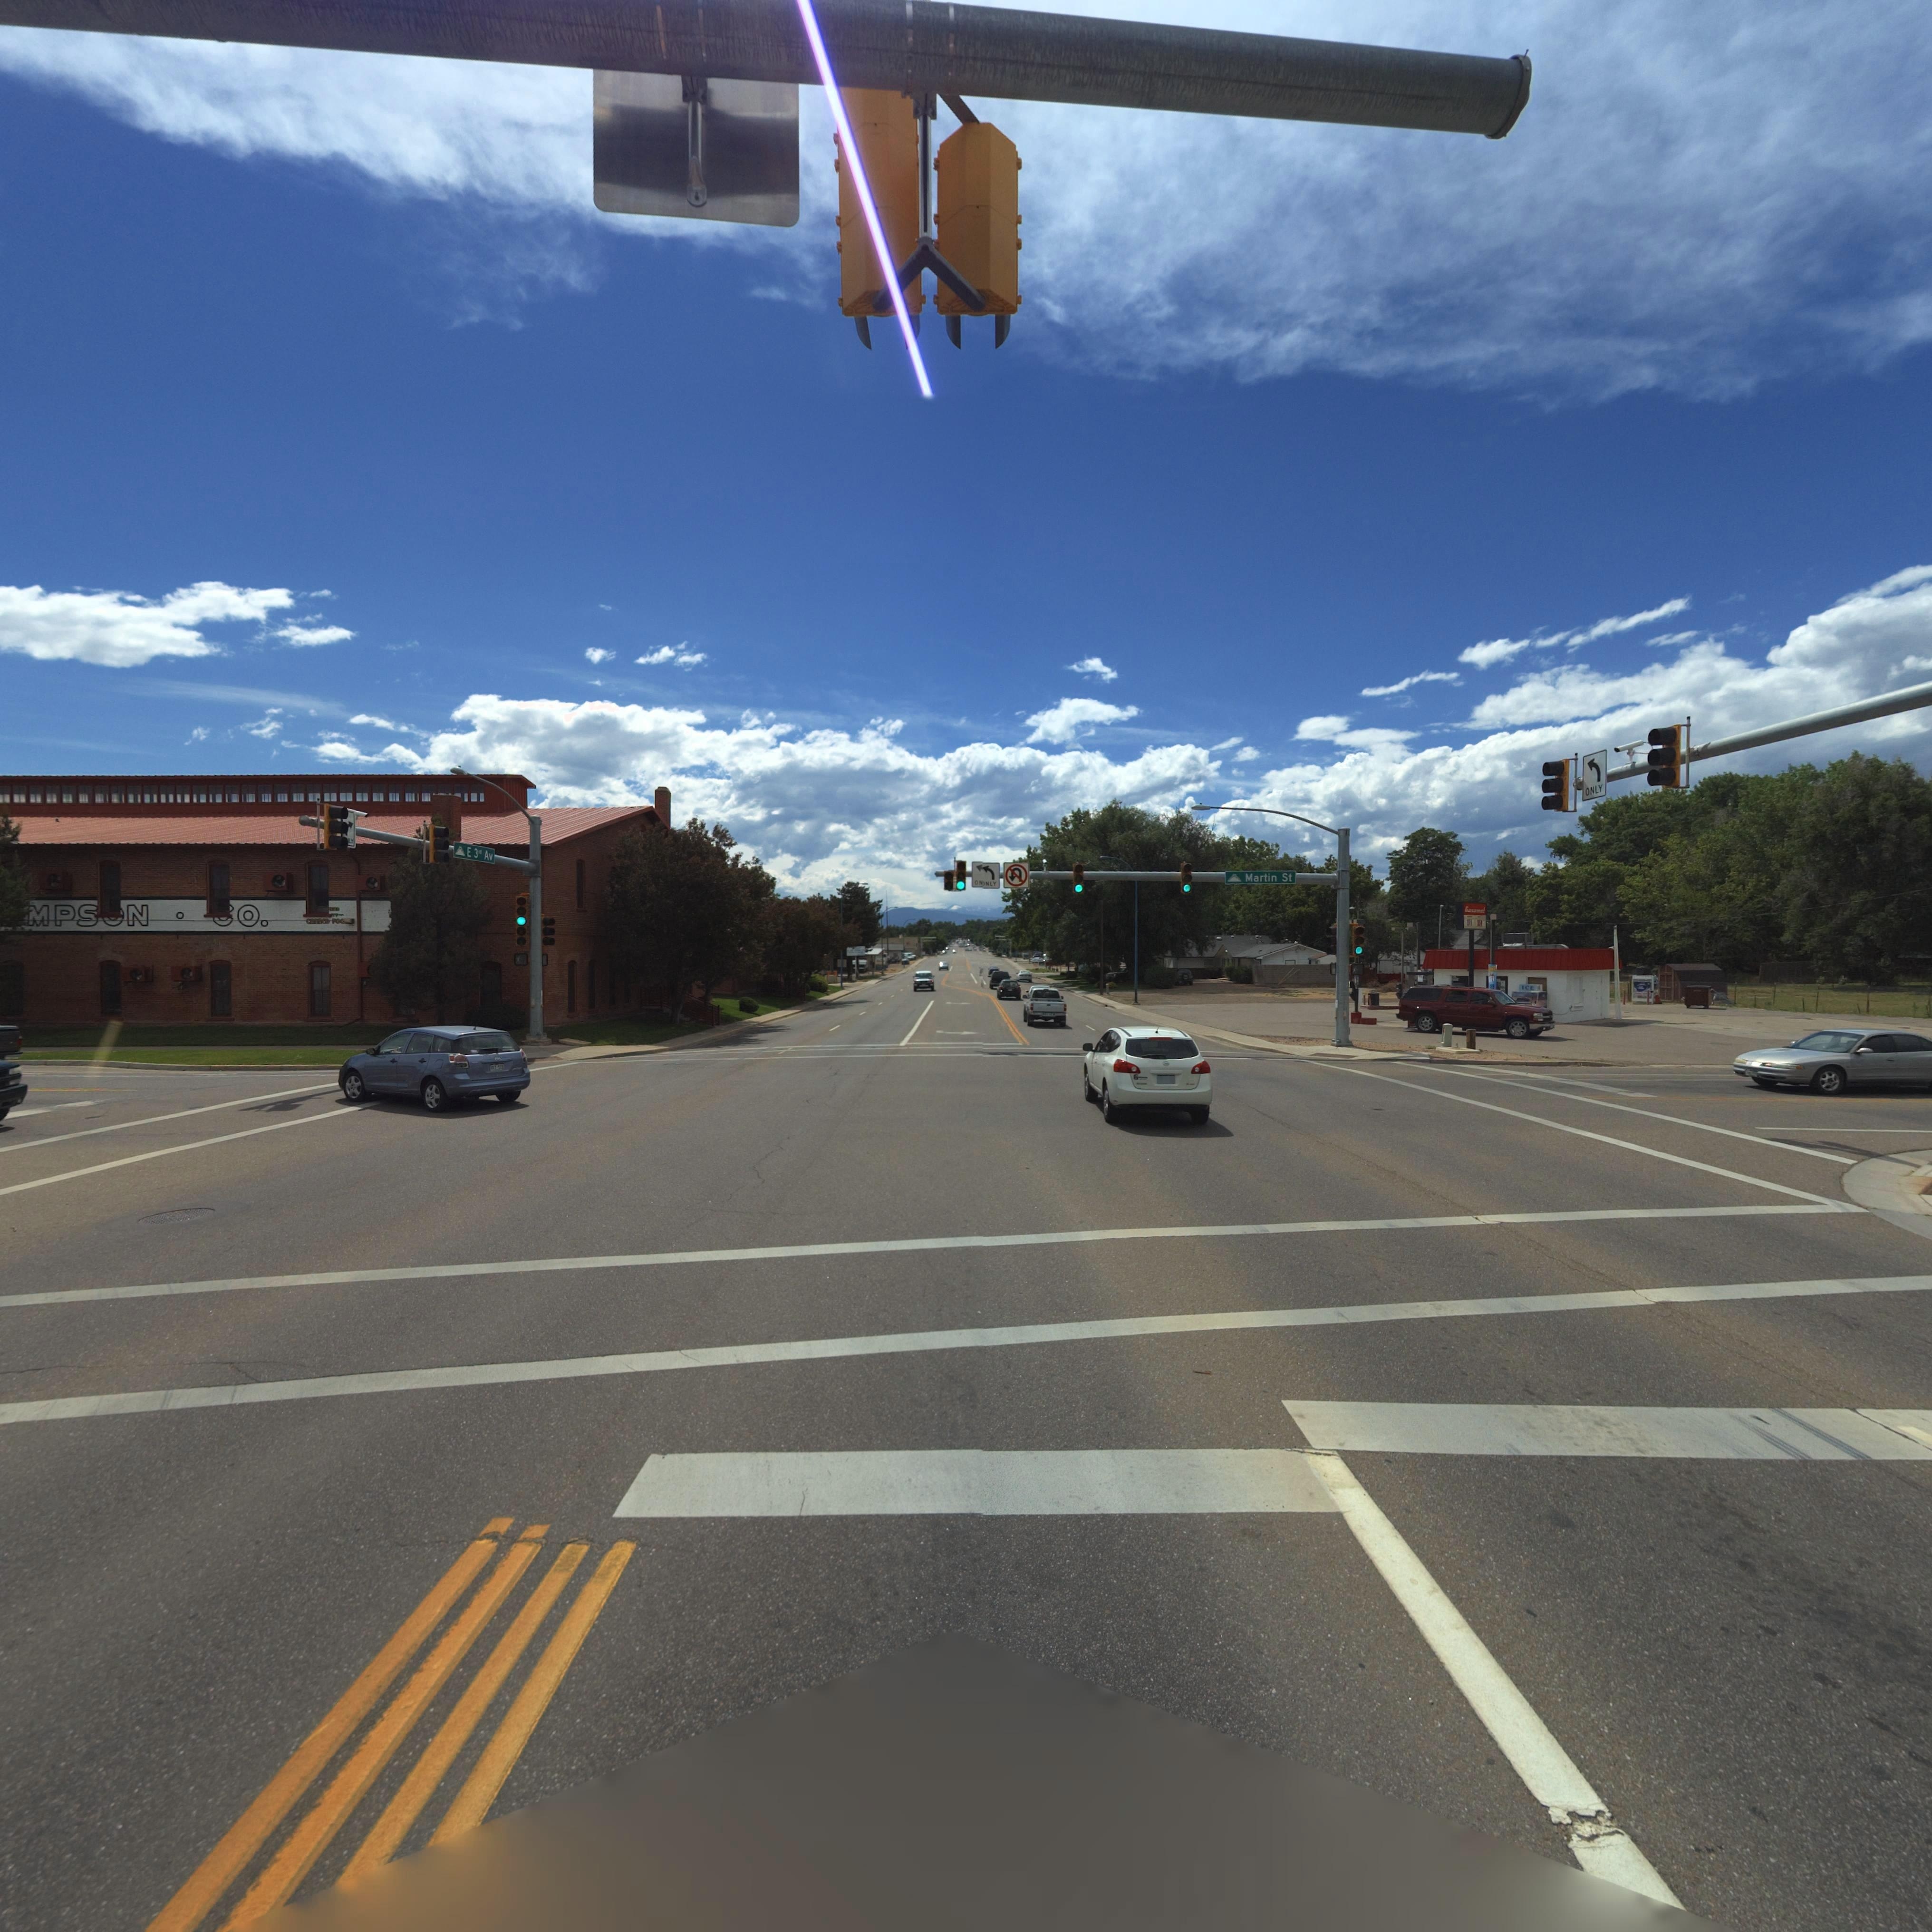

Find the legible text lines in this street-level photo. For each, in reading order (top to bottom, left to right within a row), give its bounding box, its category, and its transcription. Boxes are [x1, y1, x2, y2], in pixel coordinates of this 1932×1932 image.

[467, 846, 493, 861] StreetName: E 3rd Av
[1246, 872, 1293, 882] StreetName: Martin St
[24, 903, 269, 928] BusinessName: MOS*N *.